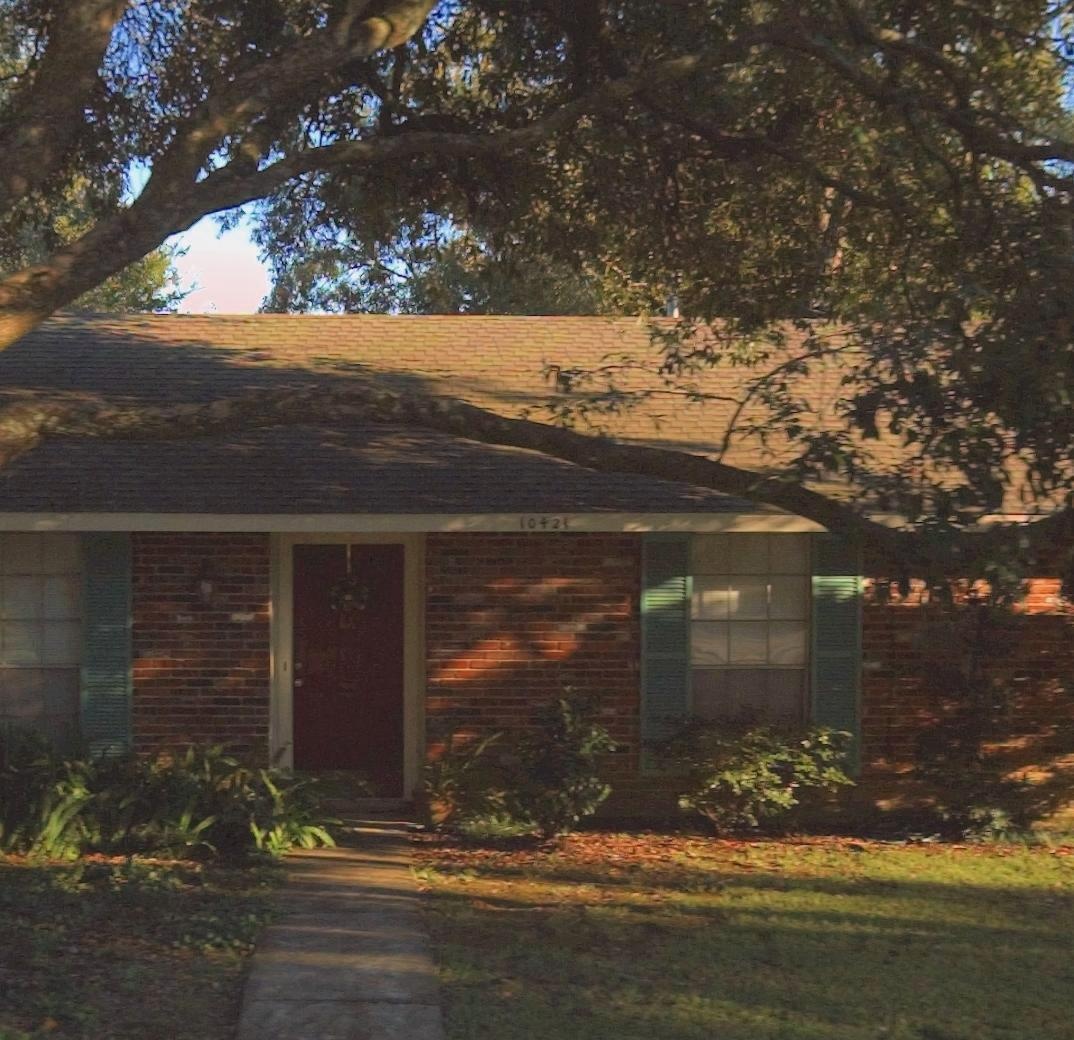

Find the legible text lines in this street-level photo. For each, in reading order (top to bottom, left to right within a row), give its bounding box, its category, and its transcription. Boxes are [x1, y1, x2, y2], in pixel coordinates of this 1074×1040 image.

[517, 514, 571, 532] StreetNumber: 10421